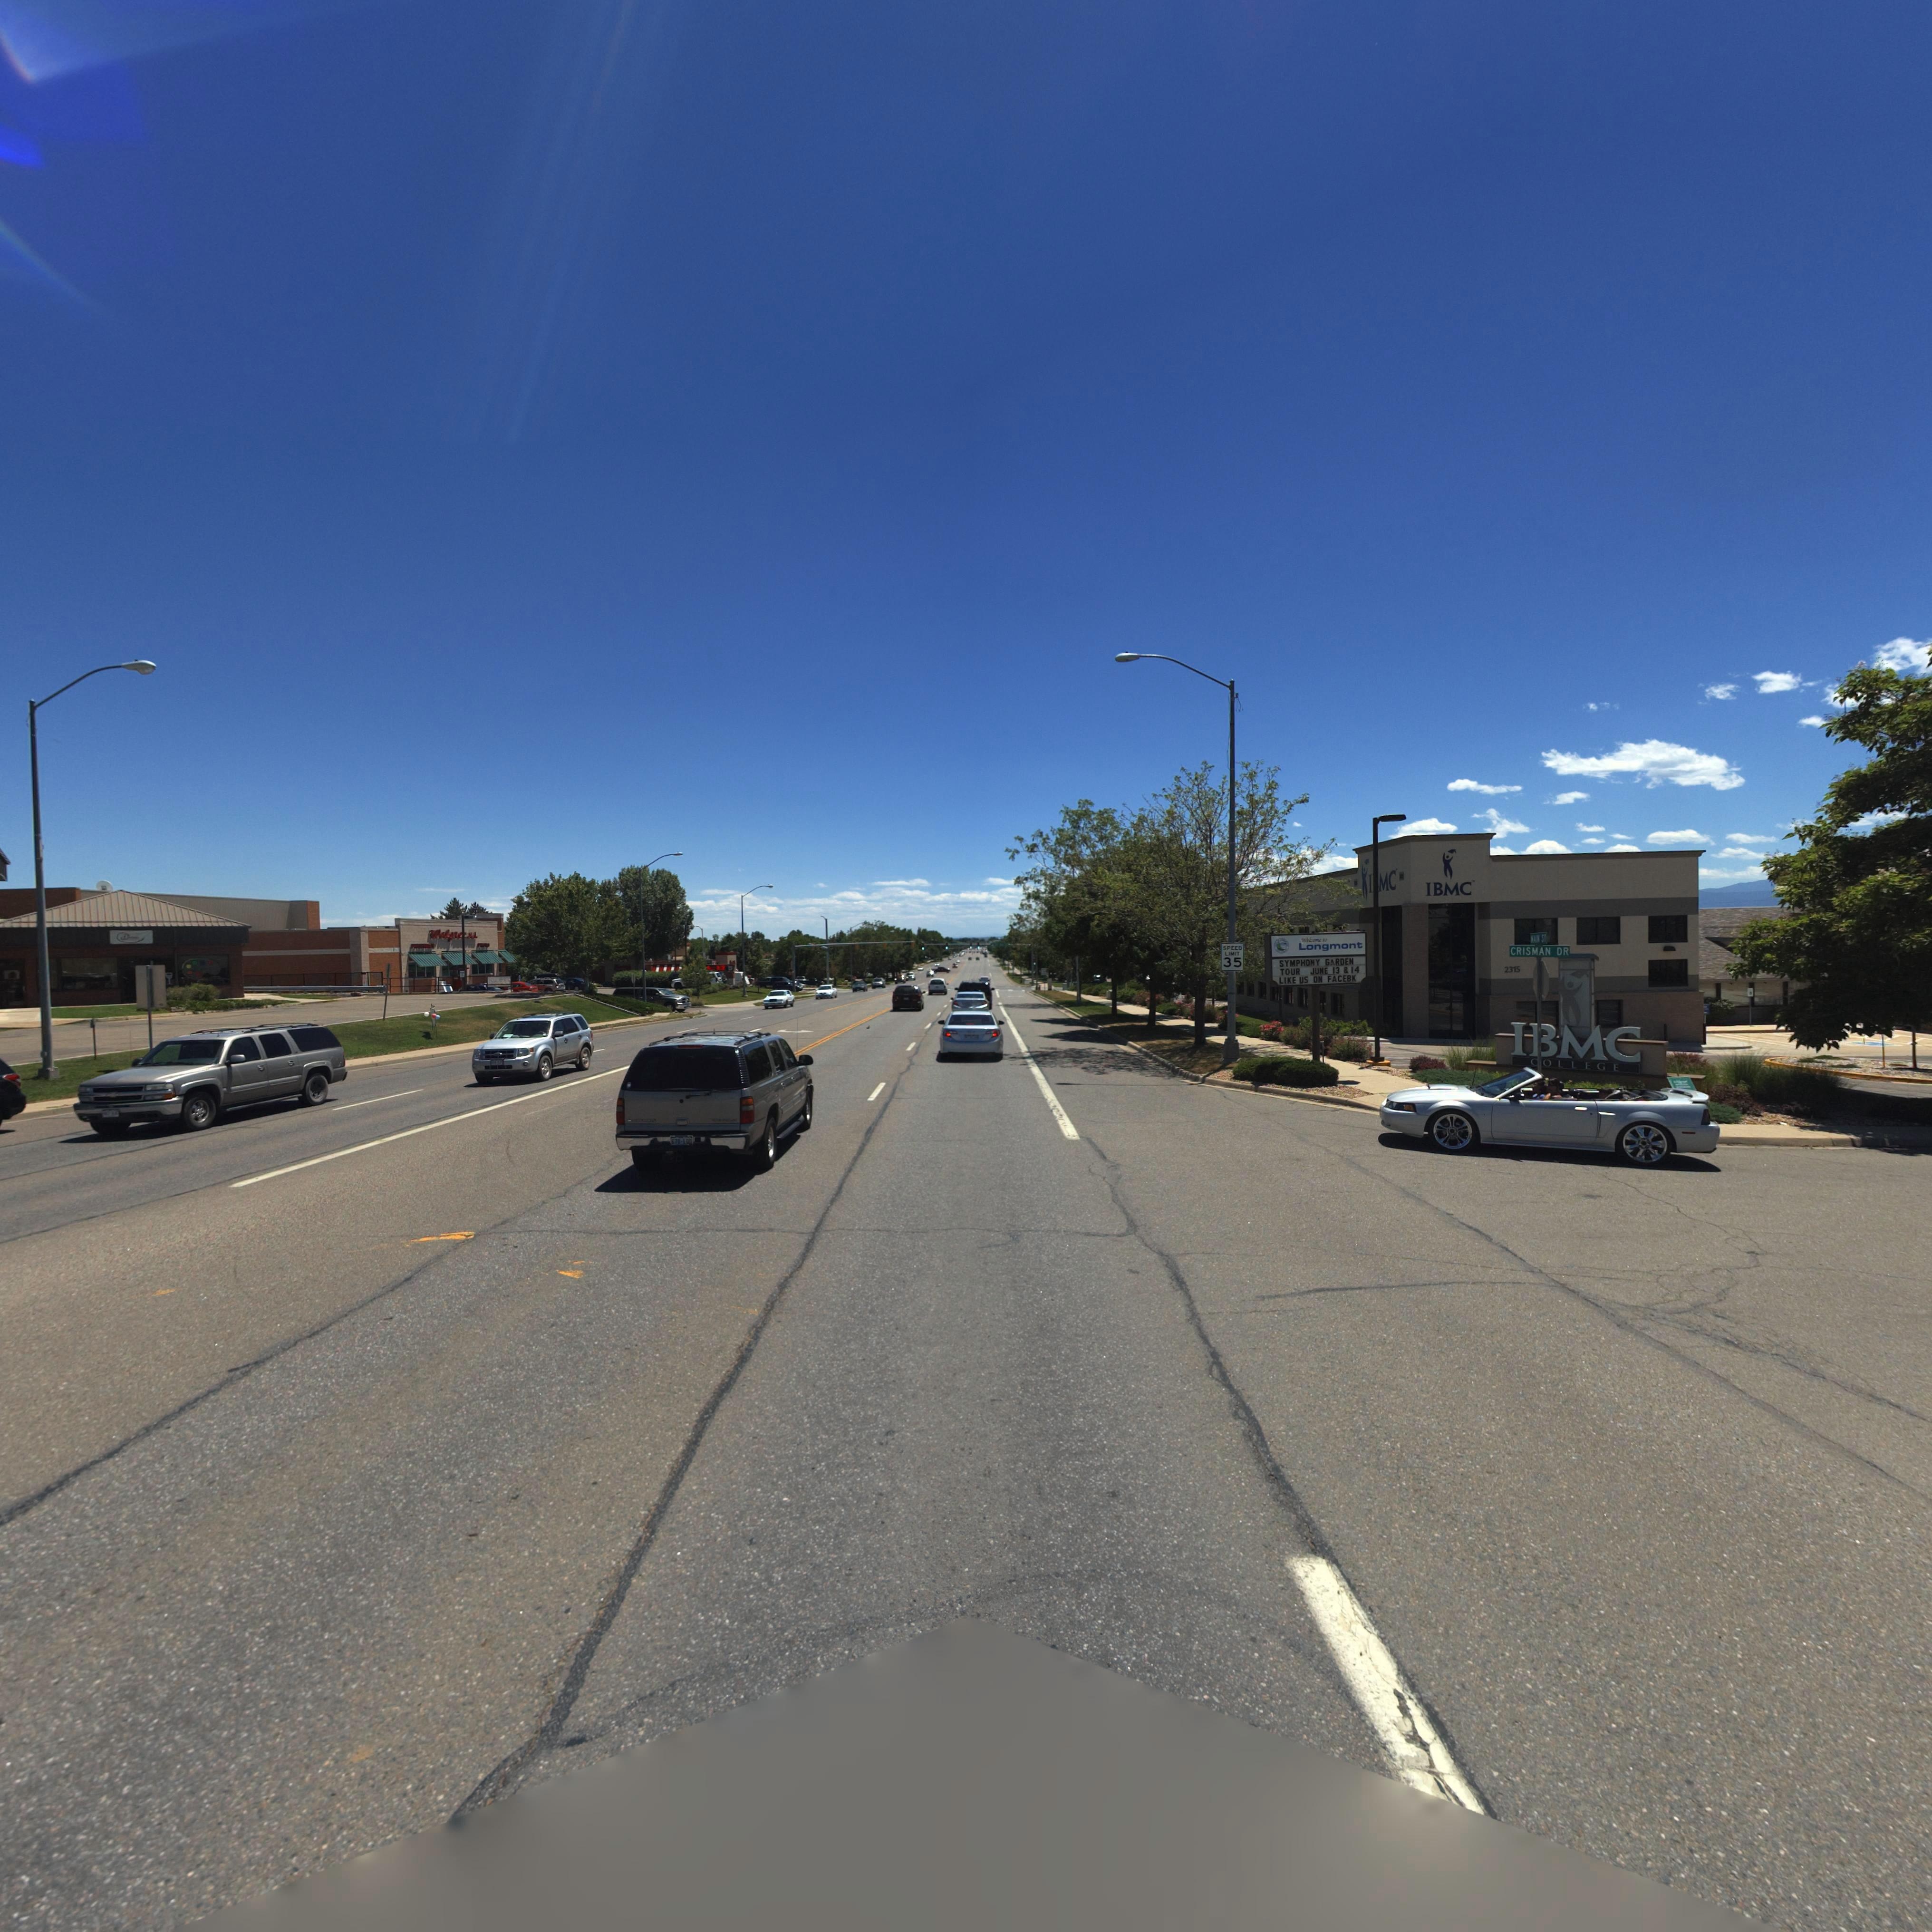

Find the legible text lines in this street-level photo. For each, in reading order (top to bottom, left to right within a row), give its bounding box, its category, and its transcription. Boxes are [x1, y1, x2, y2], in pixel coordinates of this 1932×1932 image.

[1368, 869, 1396, 893] BusinessName: I*MC
[1425, 881, 1471, 896] BusinessName: IBMC
[428, 929, 478, 942] BusinessName: Wal*****s
[1530, 934, 1546, 943] StreetName: **** ST
[1510, 946, 1569, 956] StreetName: CRISMAN DR
[1504, 966, 1520, 973] StreetNumber: 2315
[1510, 1021, 1641, 1063] BusinessName: IBMC
[1530, 1058, 1619, 1072] BusinessName: *OLLEGE